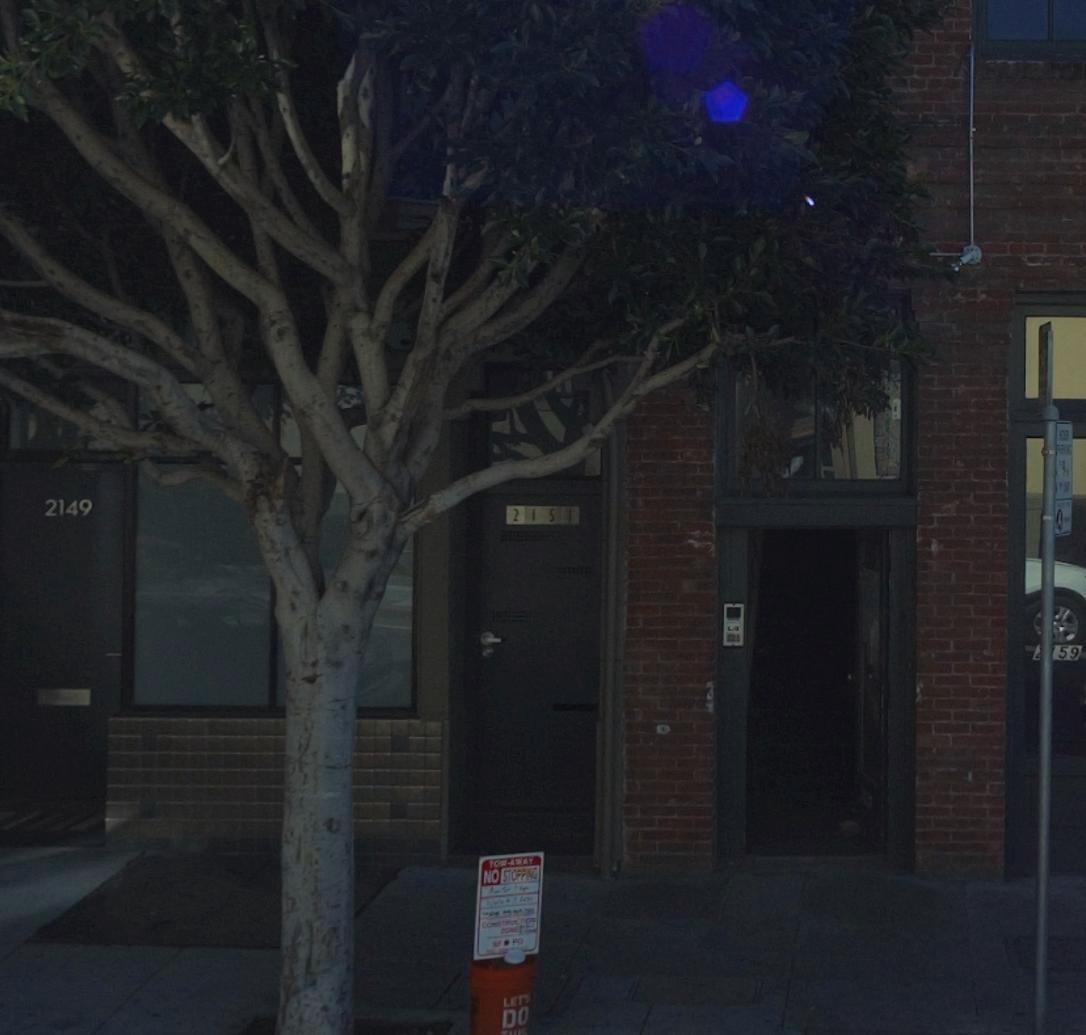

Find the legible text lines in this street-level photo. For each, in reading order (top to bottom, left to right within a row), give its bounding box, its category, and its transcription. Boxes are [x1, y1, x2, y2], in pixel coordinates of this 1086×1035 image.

[1057, 428, 1070, 443] None: HOUR
[1055, 444, 1073, 456] None: PARKING
[42, 497, 94, 518] StreetNumber: 2149
[509, 507, 575, 525] StreetNumber: 2151
[1055, 509, 1064, 529] None: A
[1055, 645, 1082, 661] StreetNumber: 59
[487, 856, 536, 869] None: TOW-AWAY
[482, 866, 538, 885] None: NO STOPPING
[502, 990, 531, 1008] None: LETS
[501, 1005, 530, 1030] None: DO